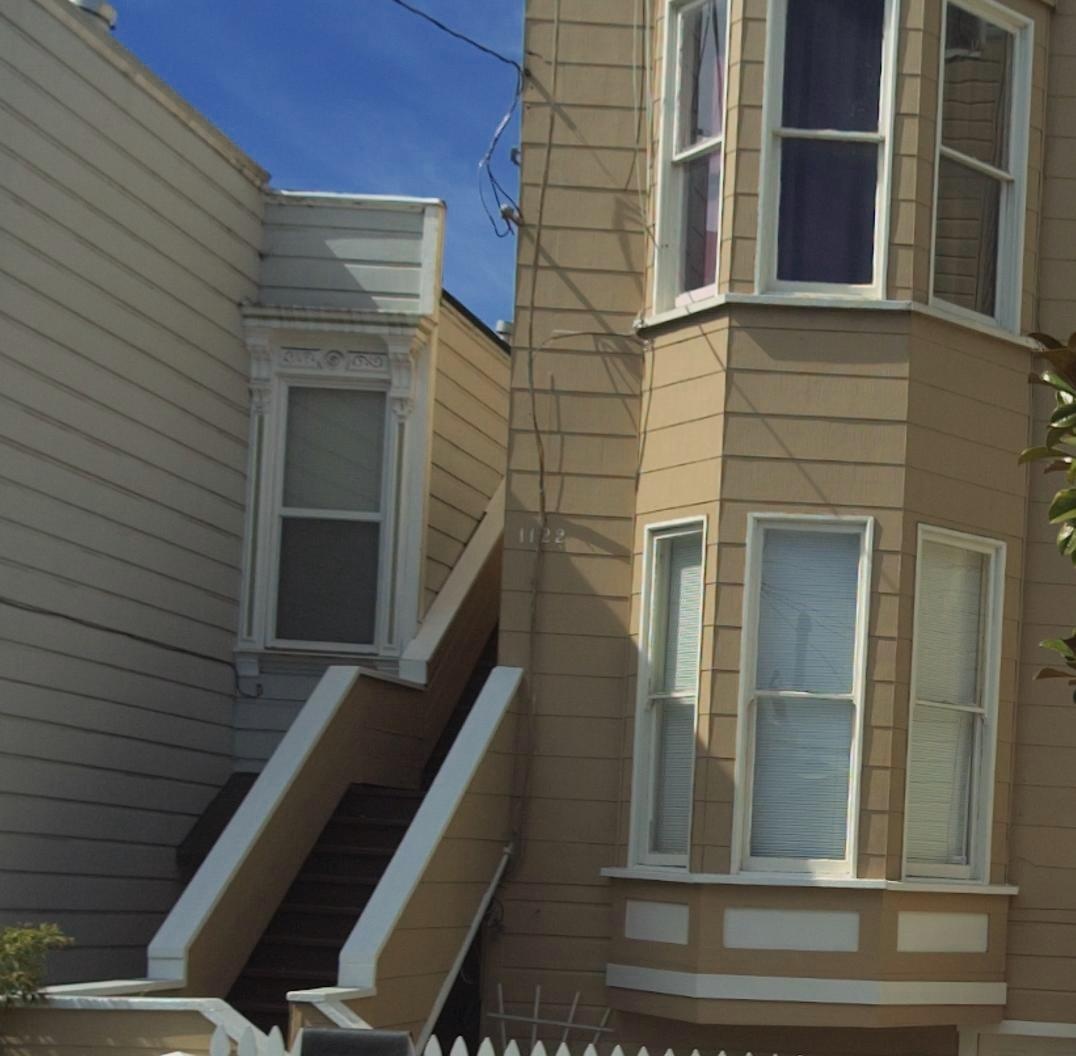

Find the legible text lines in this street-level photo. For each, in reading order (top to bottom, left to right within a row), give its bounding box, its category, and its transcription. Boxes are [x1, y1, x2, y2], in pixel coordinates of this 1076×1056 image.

[518, 525, 566, 545] StreetNumber: 1122